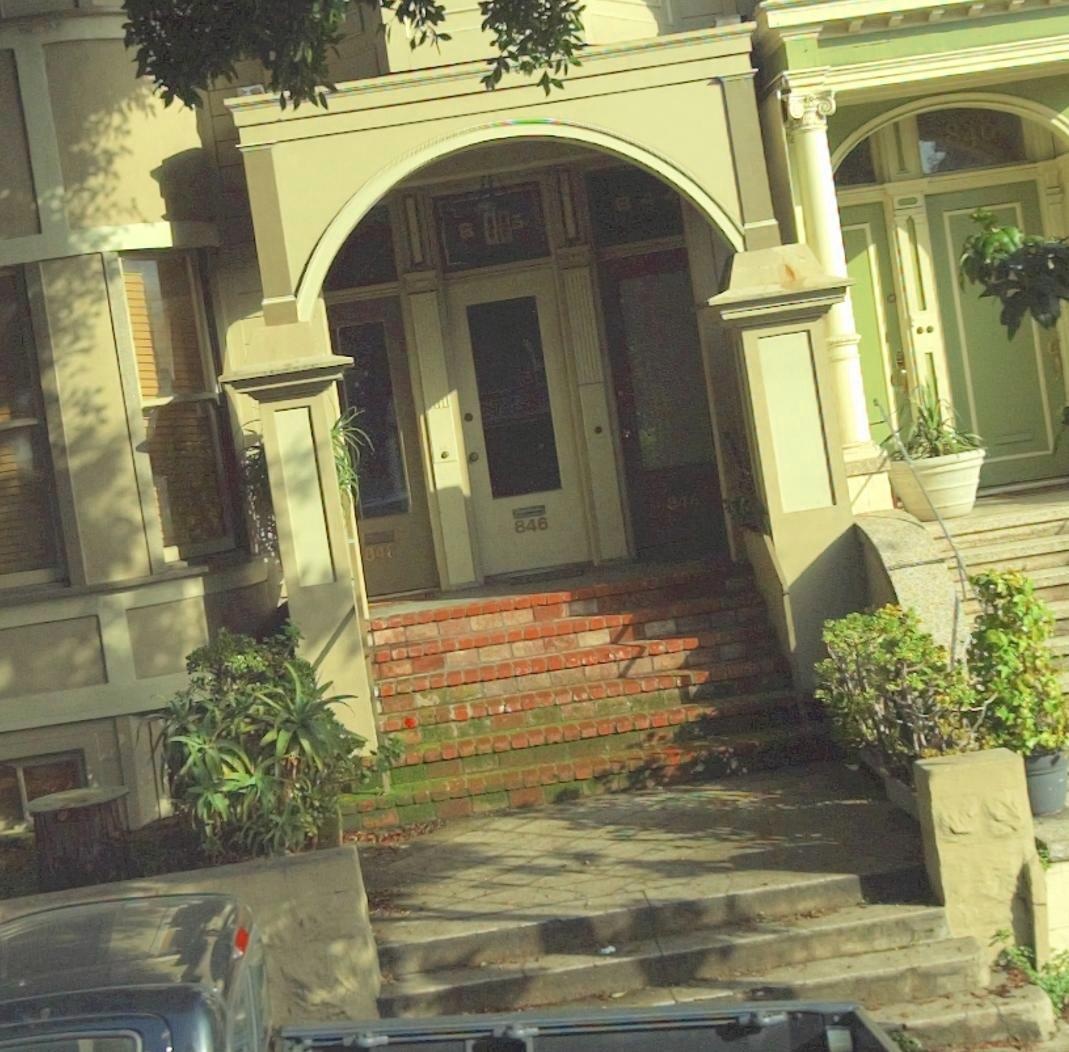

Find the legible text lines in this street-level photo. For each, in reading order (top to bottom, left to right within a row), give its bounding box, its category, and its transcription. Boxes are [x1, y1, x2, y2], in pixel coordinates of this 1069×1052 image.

[511, 513, 552, 538] StreetNumber: 846
[362, 540, 400, 565] StreetNumber: 84*